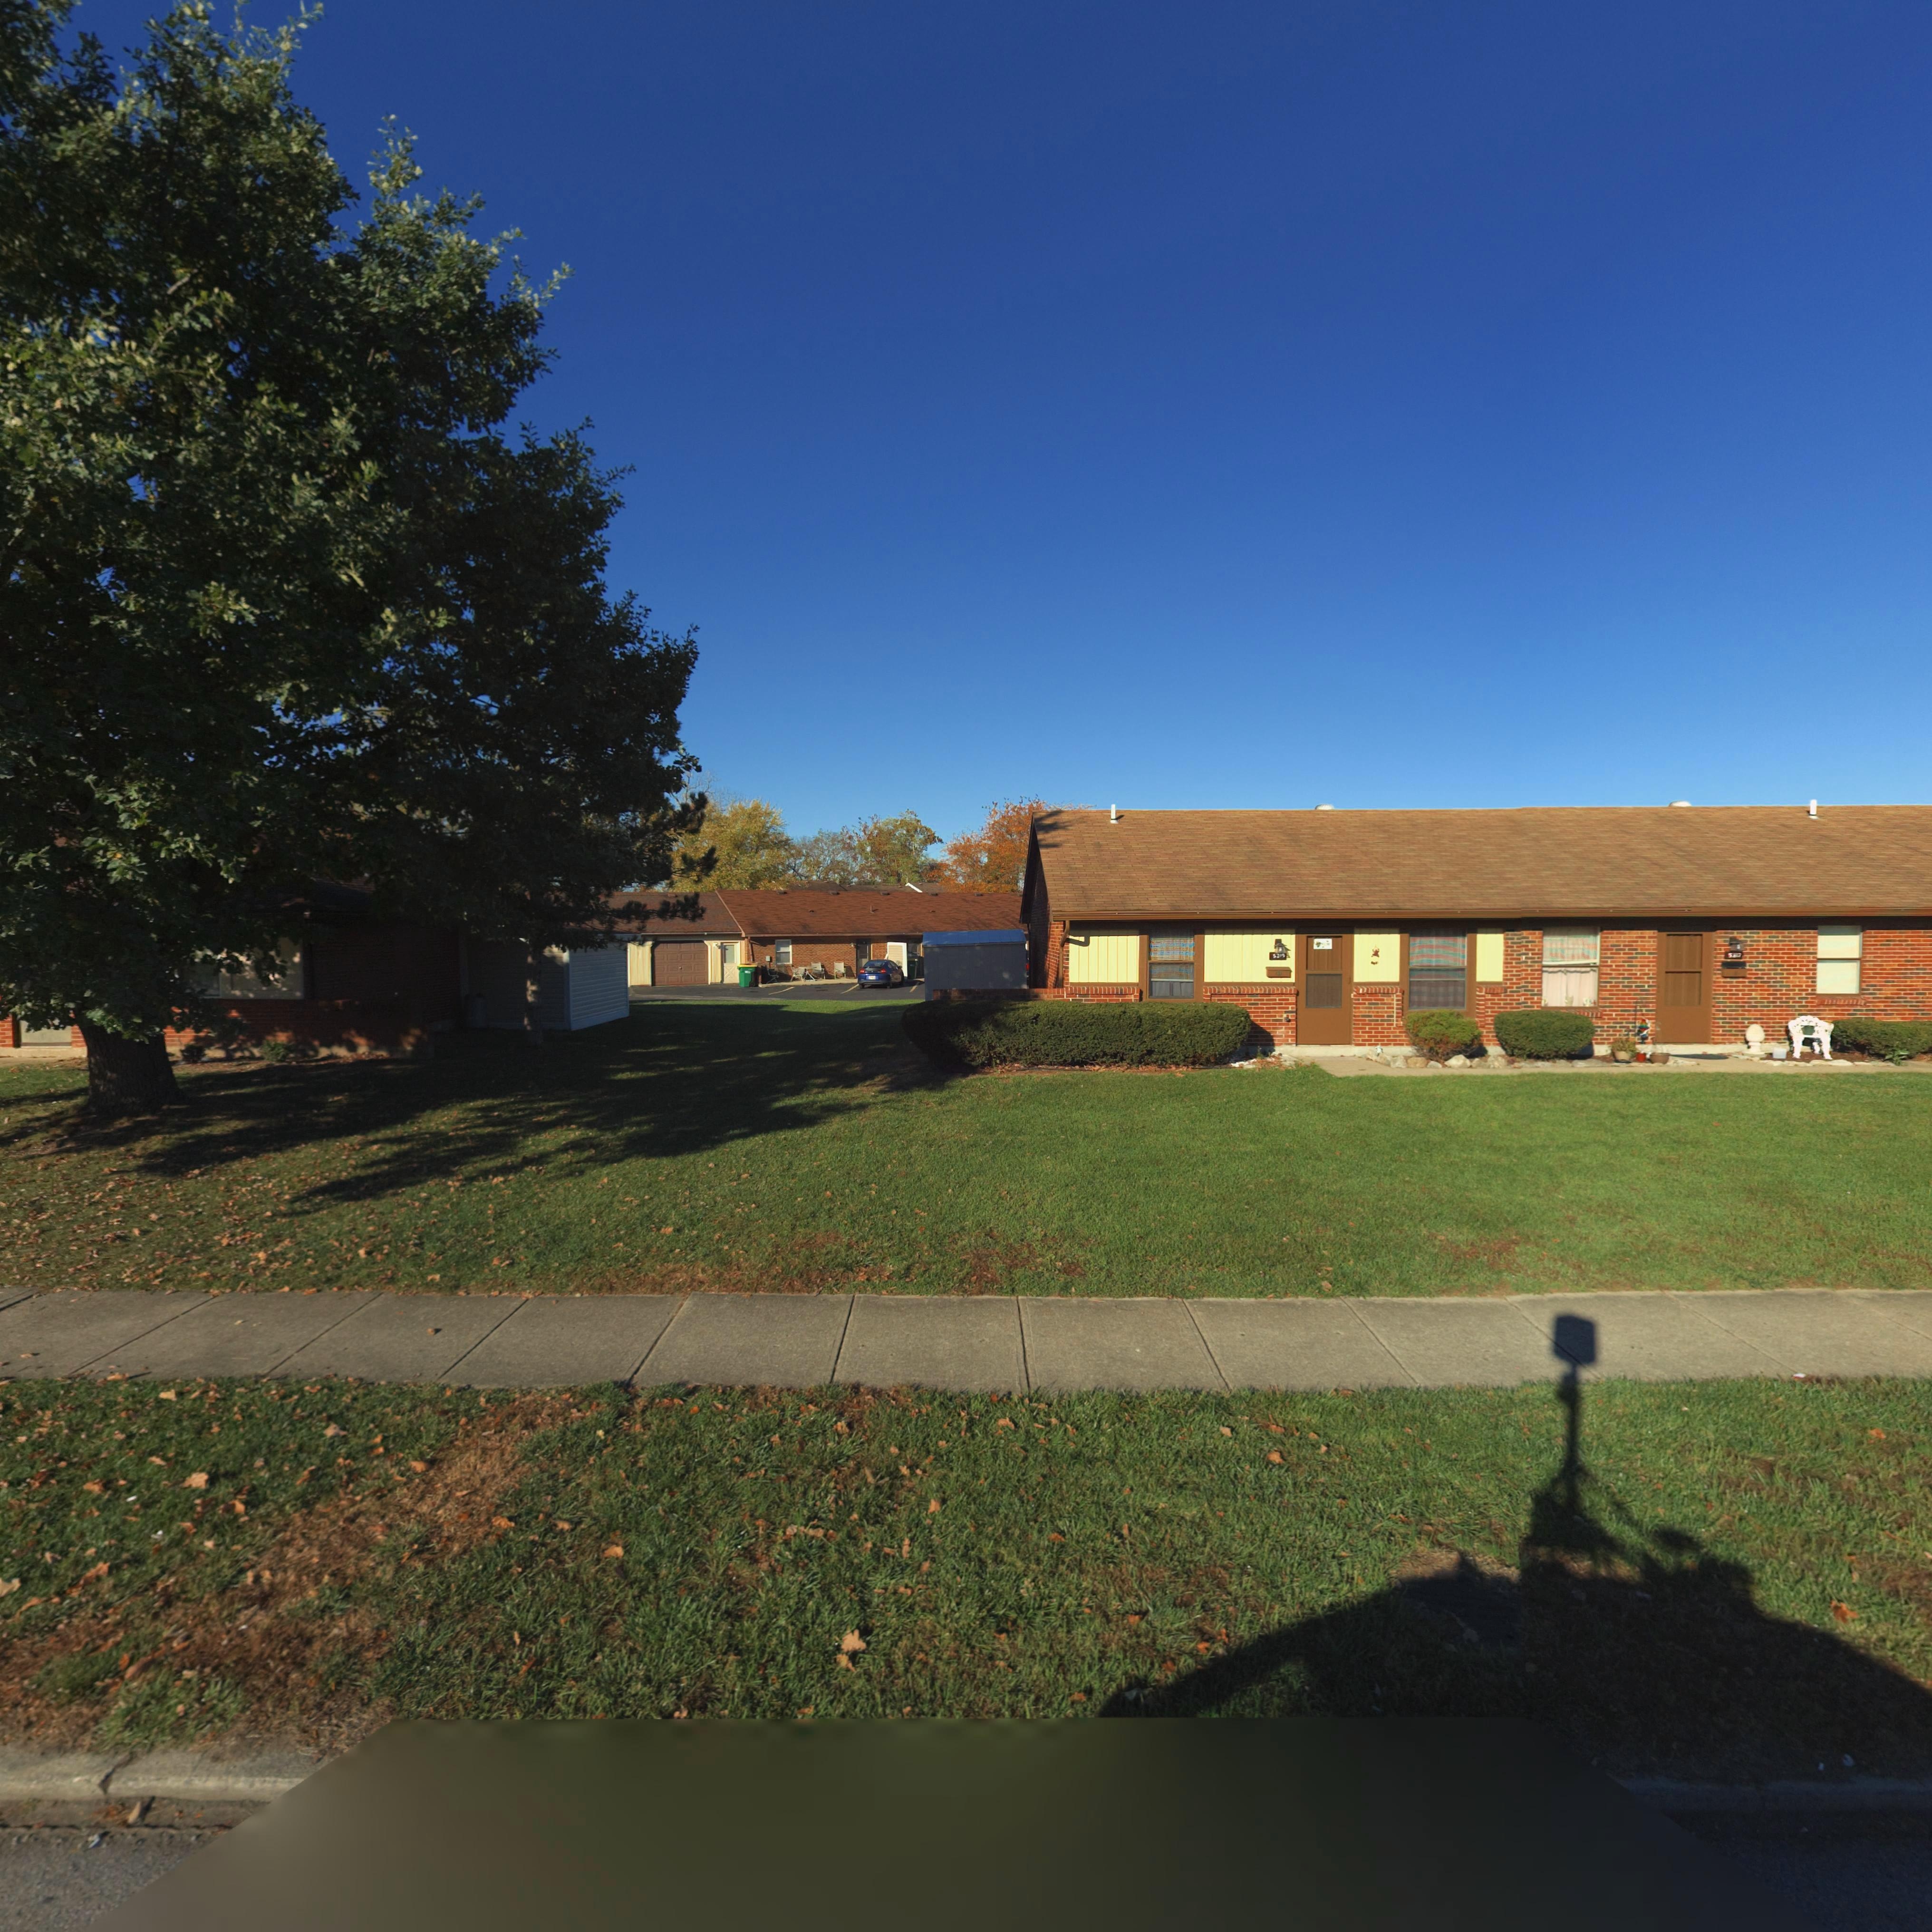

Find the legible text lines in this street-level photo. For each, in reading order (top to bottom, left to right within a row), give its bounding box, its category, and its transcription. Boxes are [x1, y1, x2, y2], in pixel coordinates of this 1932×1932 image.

[1271, 953, 1285, 959] StreetNumber: 5319
[1728, 952, 1742, 958] StreetNumber: 5317